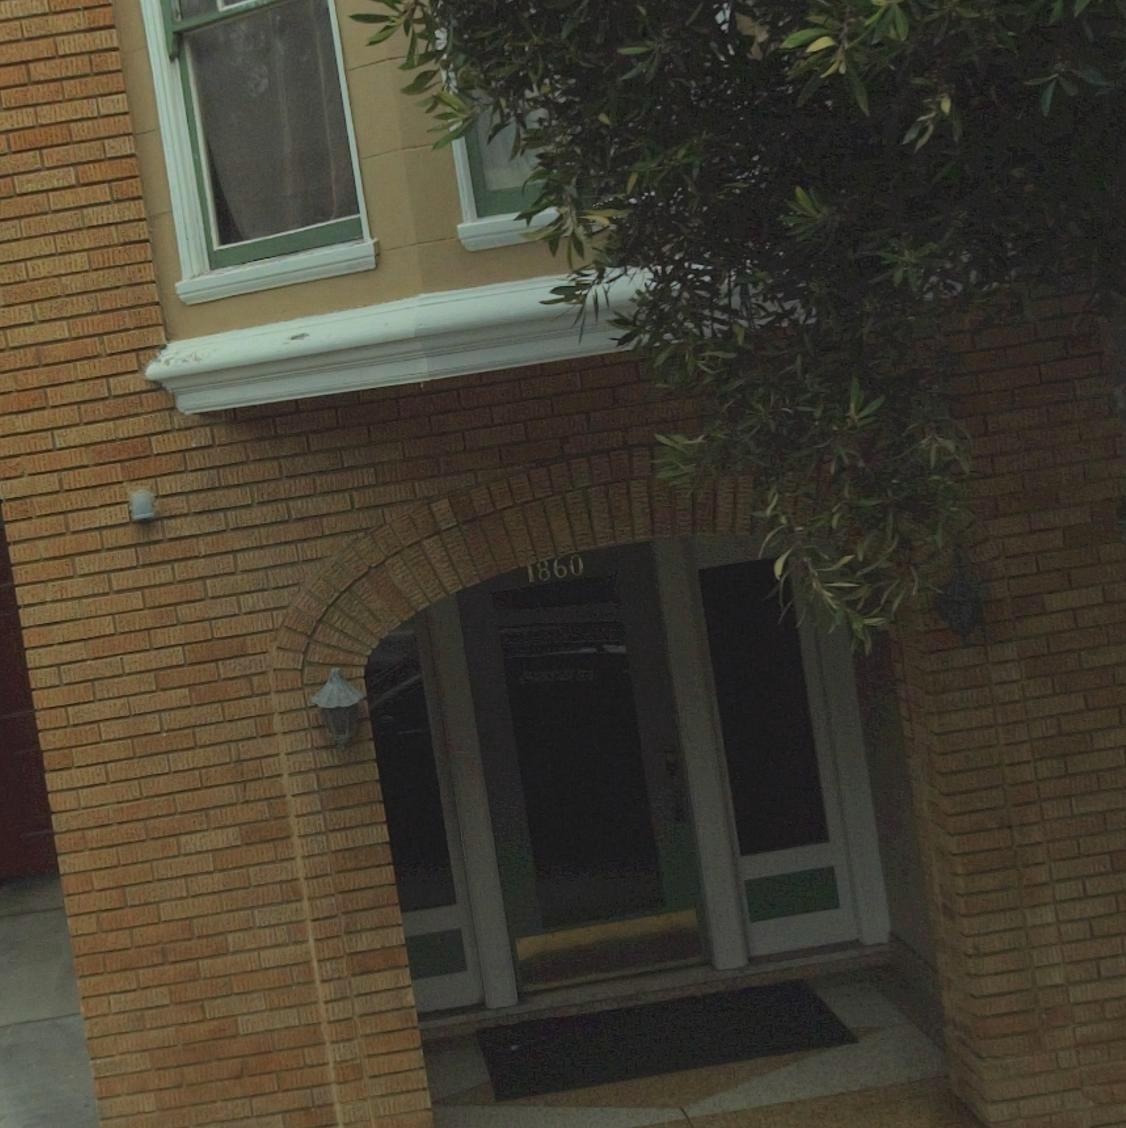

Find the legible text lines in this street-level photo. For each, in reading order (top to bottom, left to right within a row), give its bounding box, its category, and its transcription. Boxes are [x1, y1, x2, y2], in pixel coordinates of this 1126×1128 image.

[523, 551, 587, 585] StreetNumber: 1860